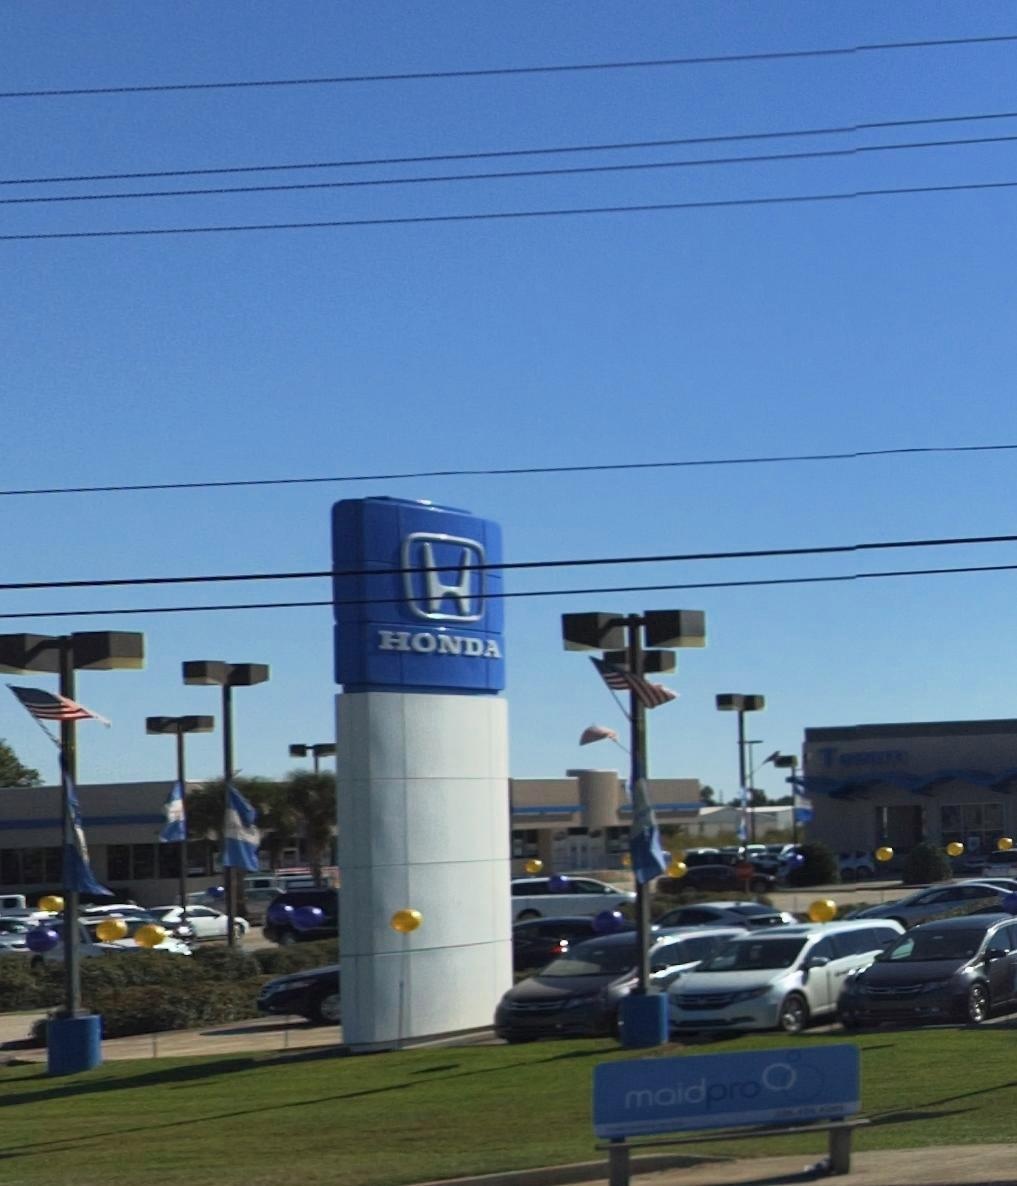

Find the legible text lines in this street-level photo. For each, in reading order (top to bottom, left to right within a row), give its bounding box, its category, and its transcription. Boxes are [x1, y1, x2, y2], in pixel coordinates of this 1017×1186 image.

[418, 538, 473, 618] None: H
[375, 627, 505, 662] BusinessName: HONDA
[815, 746, 838, 769] BusinessName: T
[621, 1073, 765, 1114] None: maidpro